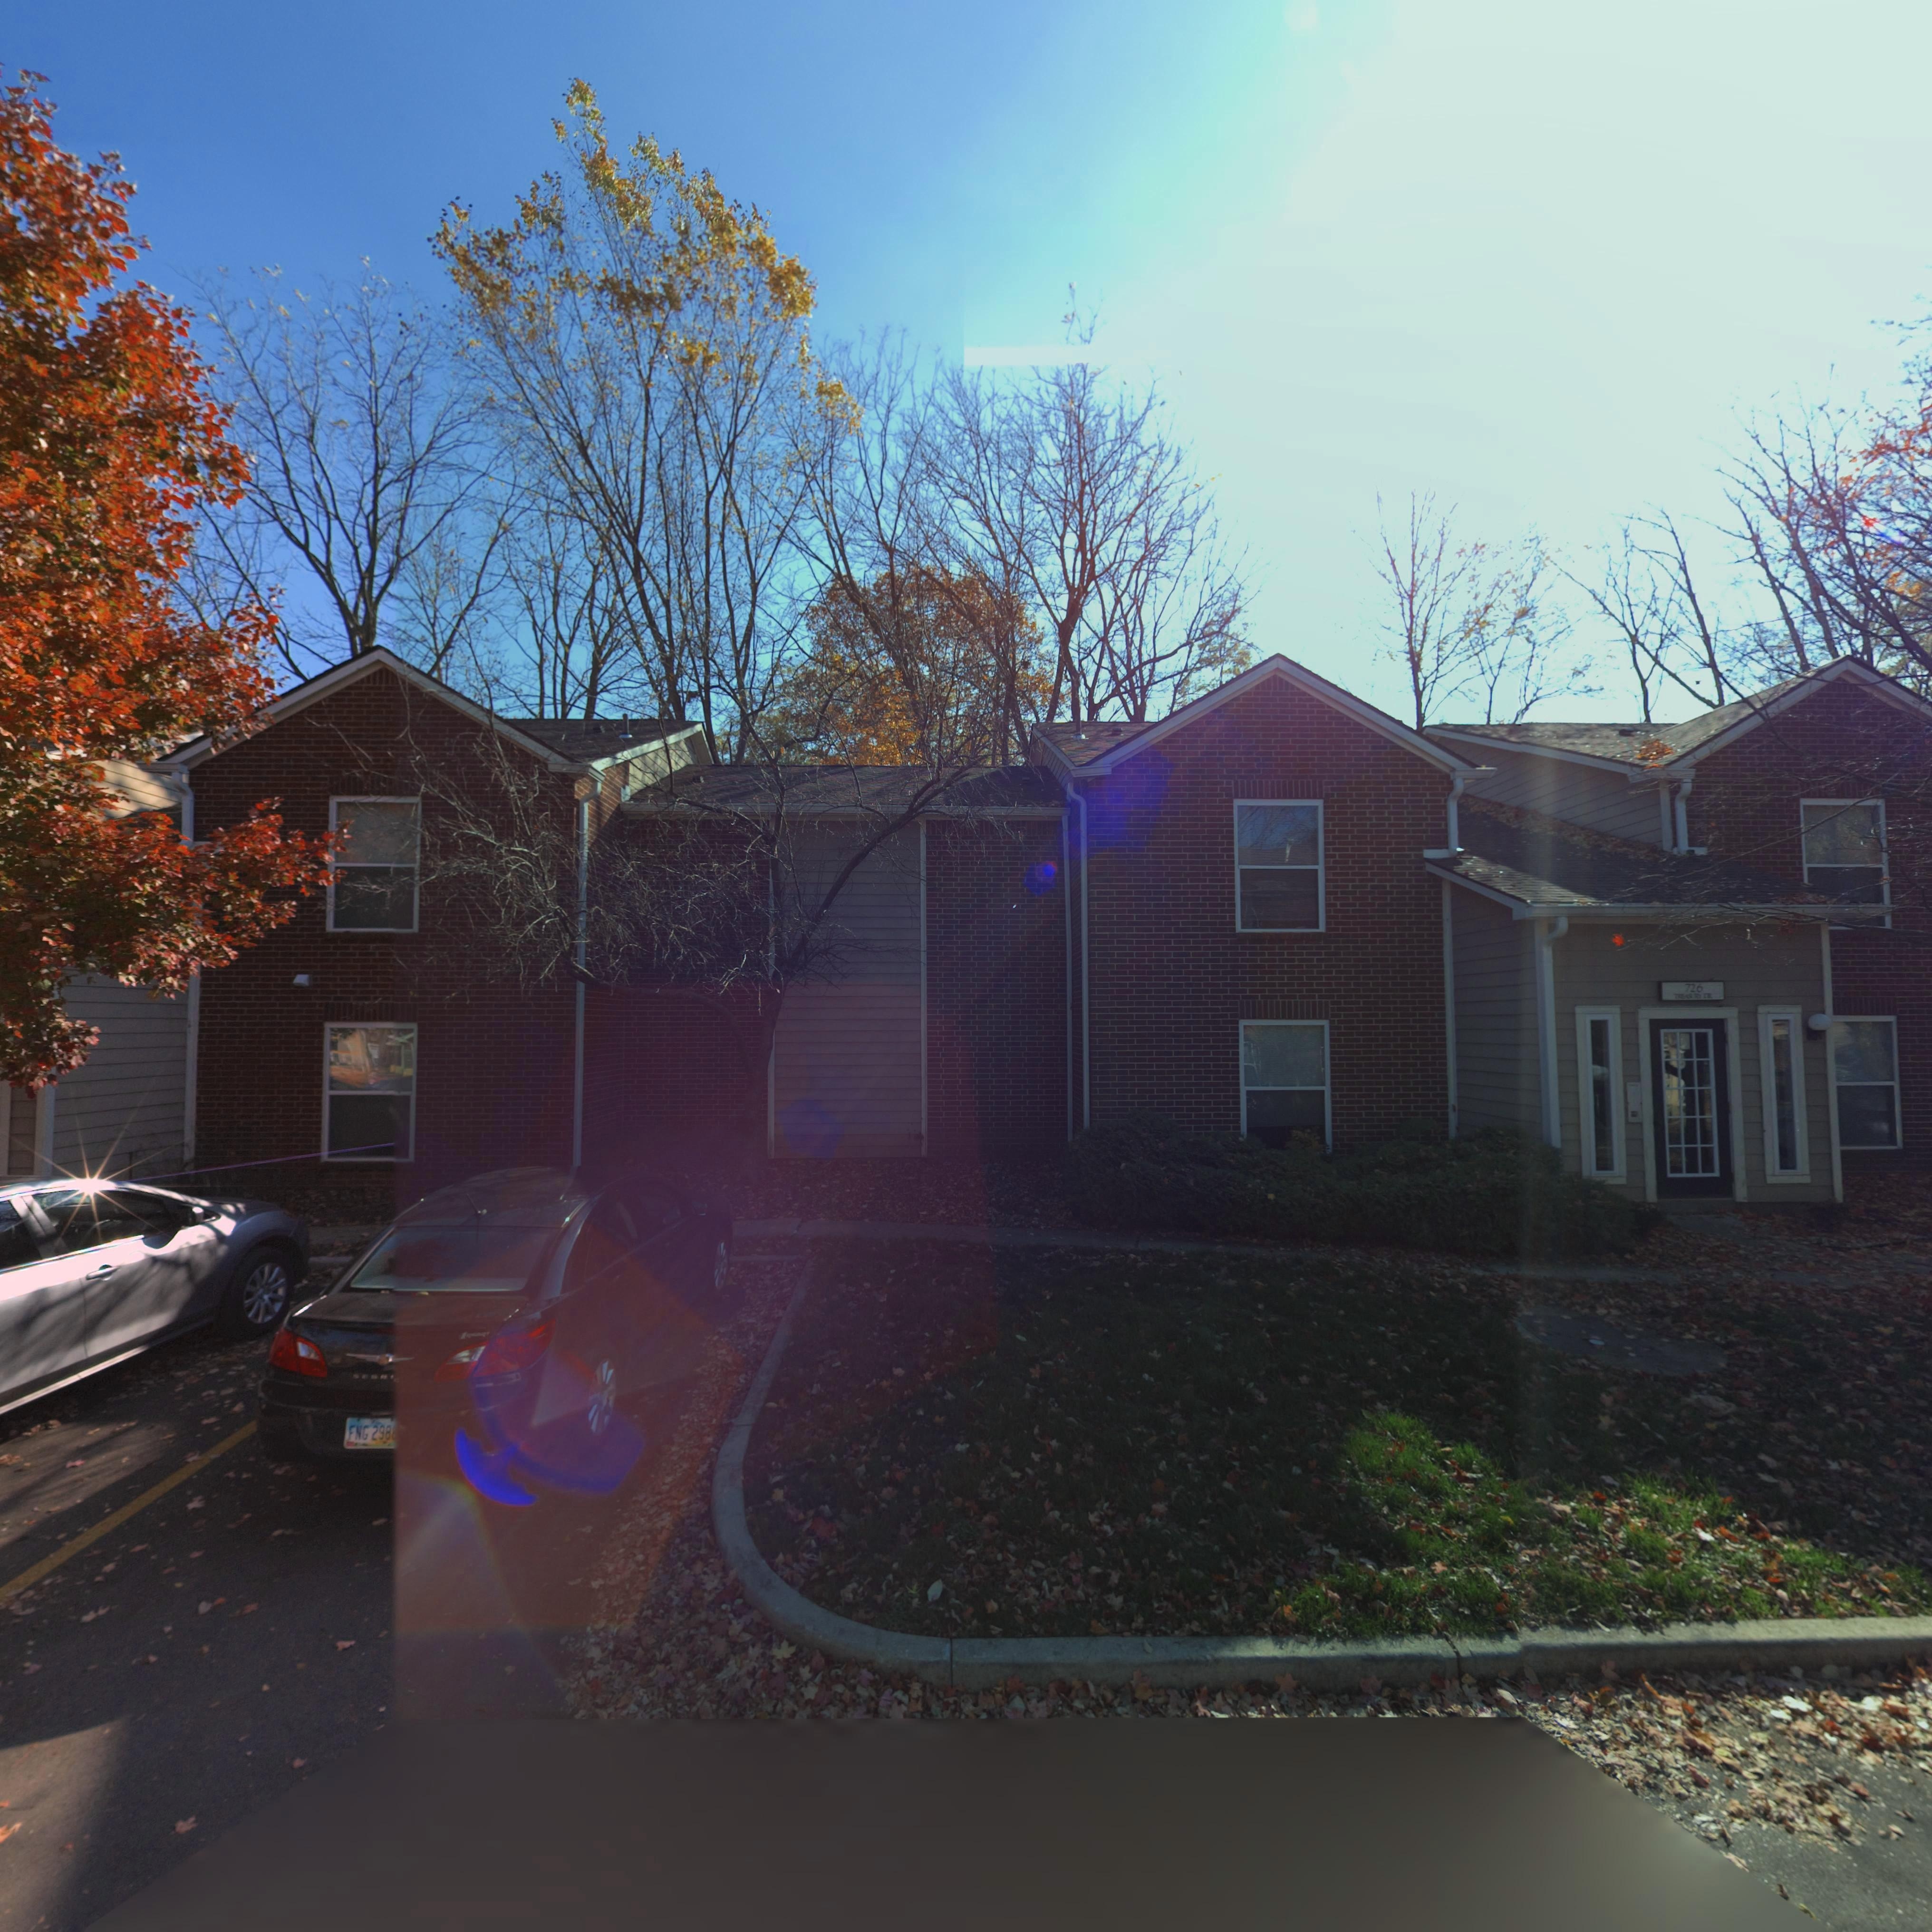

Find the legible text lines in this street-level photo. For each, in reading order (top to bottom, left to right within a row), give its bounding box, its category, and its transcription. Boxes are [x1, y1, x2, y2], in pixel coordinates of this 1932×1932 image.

[1684, 982, 1705, 993] StreetNumber: 726
[347, 1423, 392, 1441] None: FNG 298